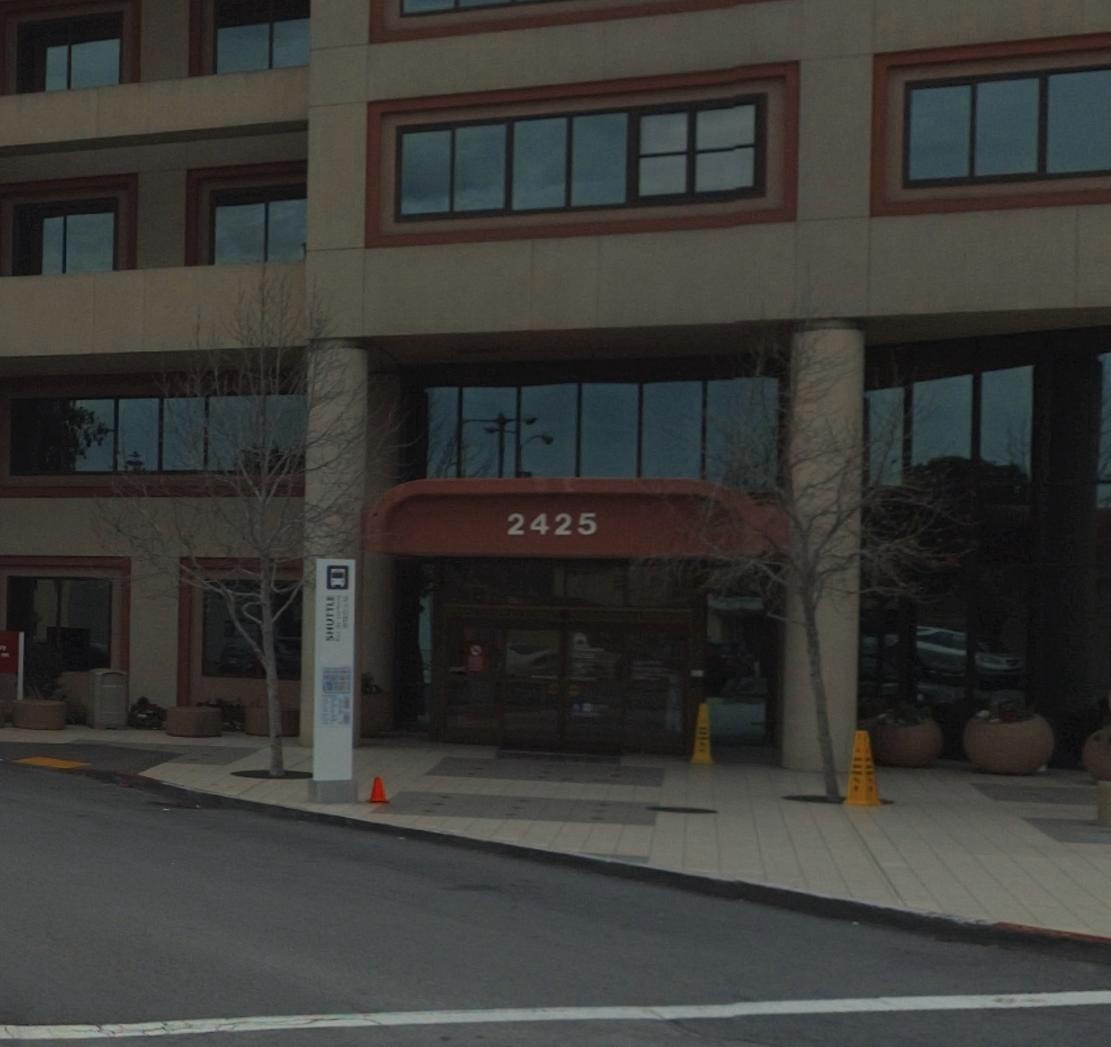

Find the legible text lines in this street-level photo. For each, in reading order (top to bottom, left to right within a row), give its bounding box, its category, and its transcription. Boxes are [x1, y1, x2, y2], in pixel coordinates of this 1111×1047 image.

[504, 510, 600, 539] StreetNumber: 2425
[324, 593, 336, 644] None: SHUTTLE